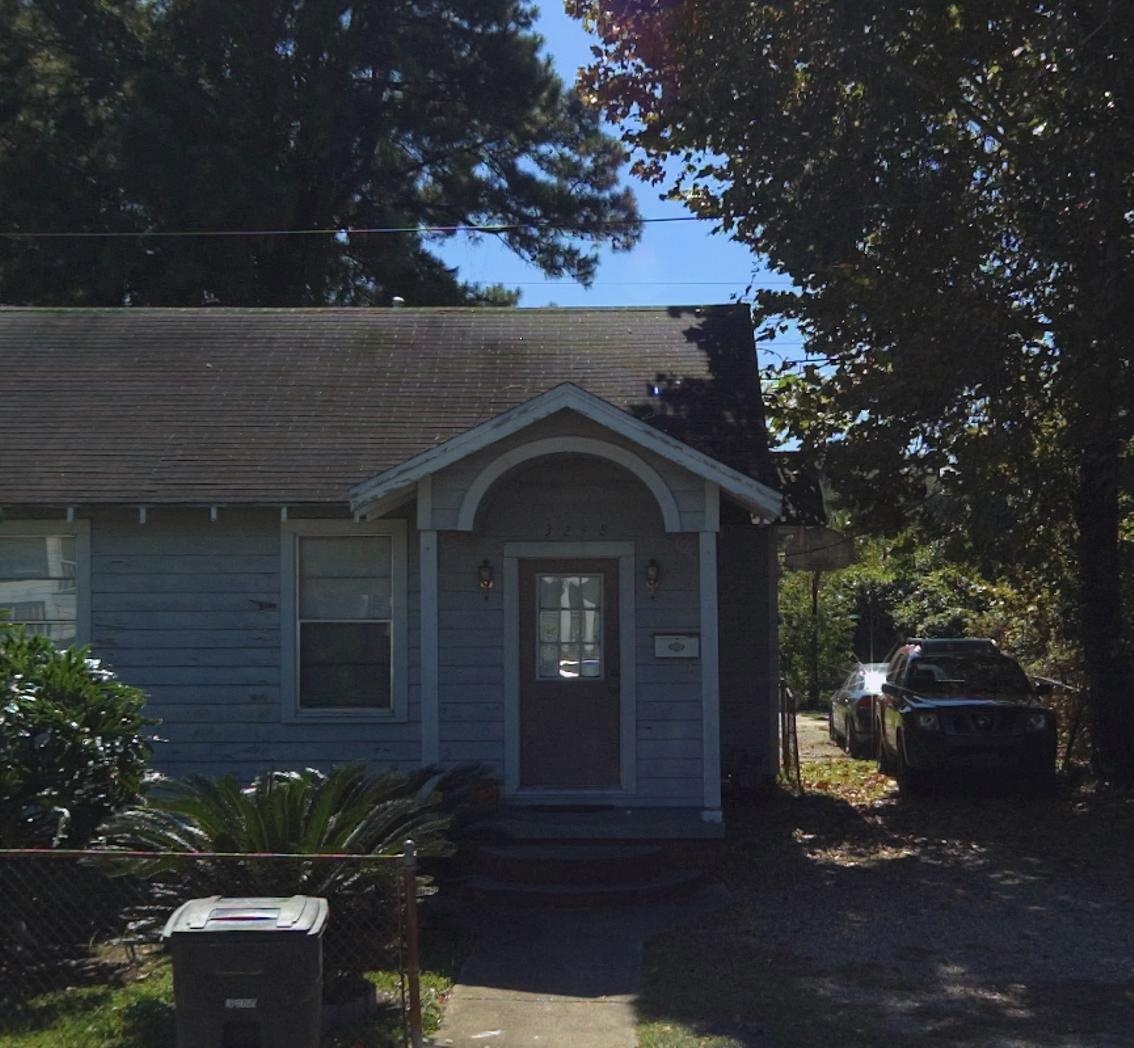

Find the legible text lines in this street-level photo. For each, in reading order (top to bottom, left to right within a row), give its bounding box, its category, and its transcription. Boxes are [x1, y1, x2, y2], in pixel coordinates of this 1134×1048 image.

[544, 522, 609, 538] StreetNumber: 324*